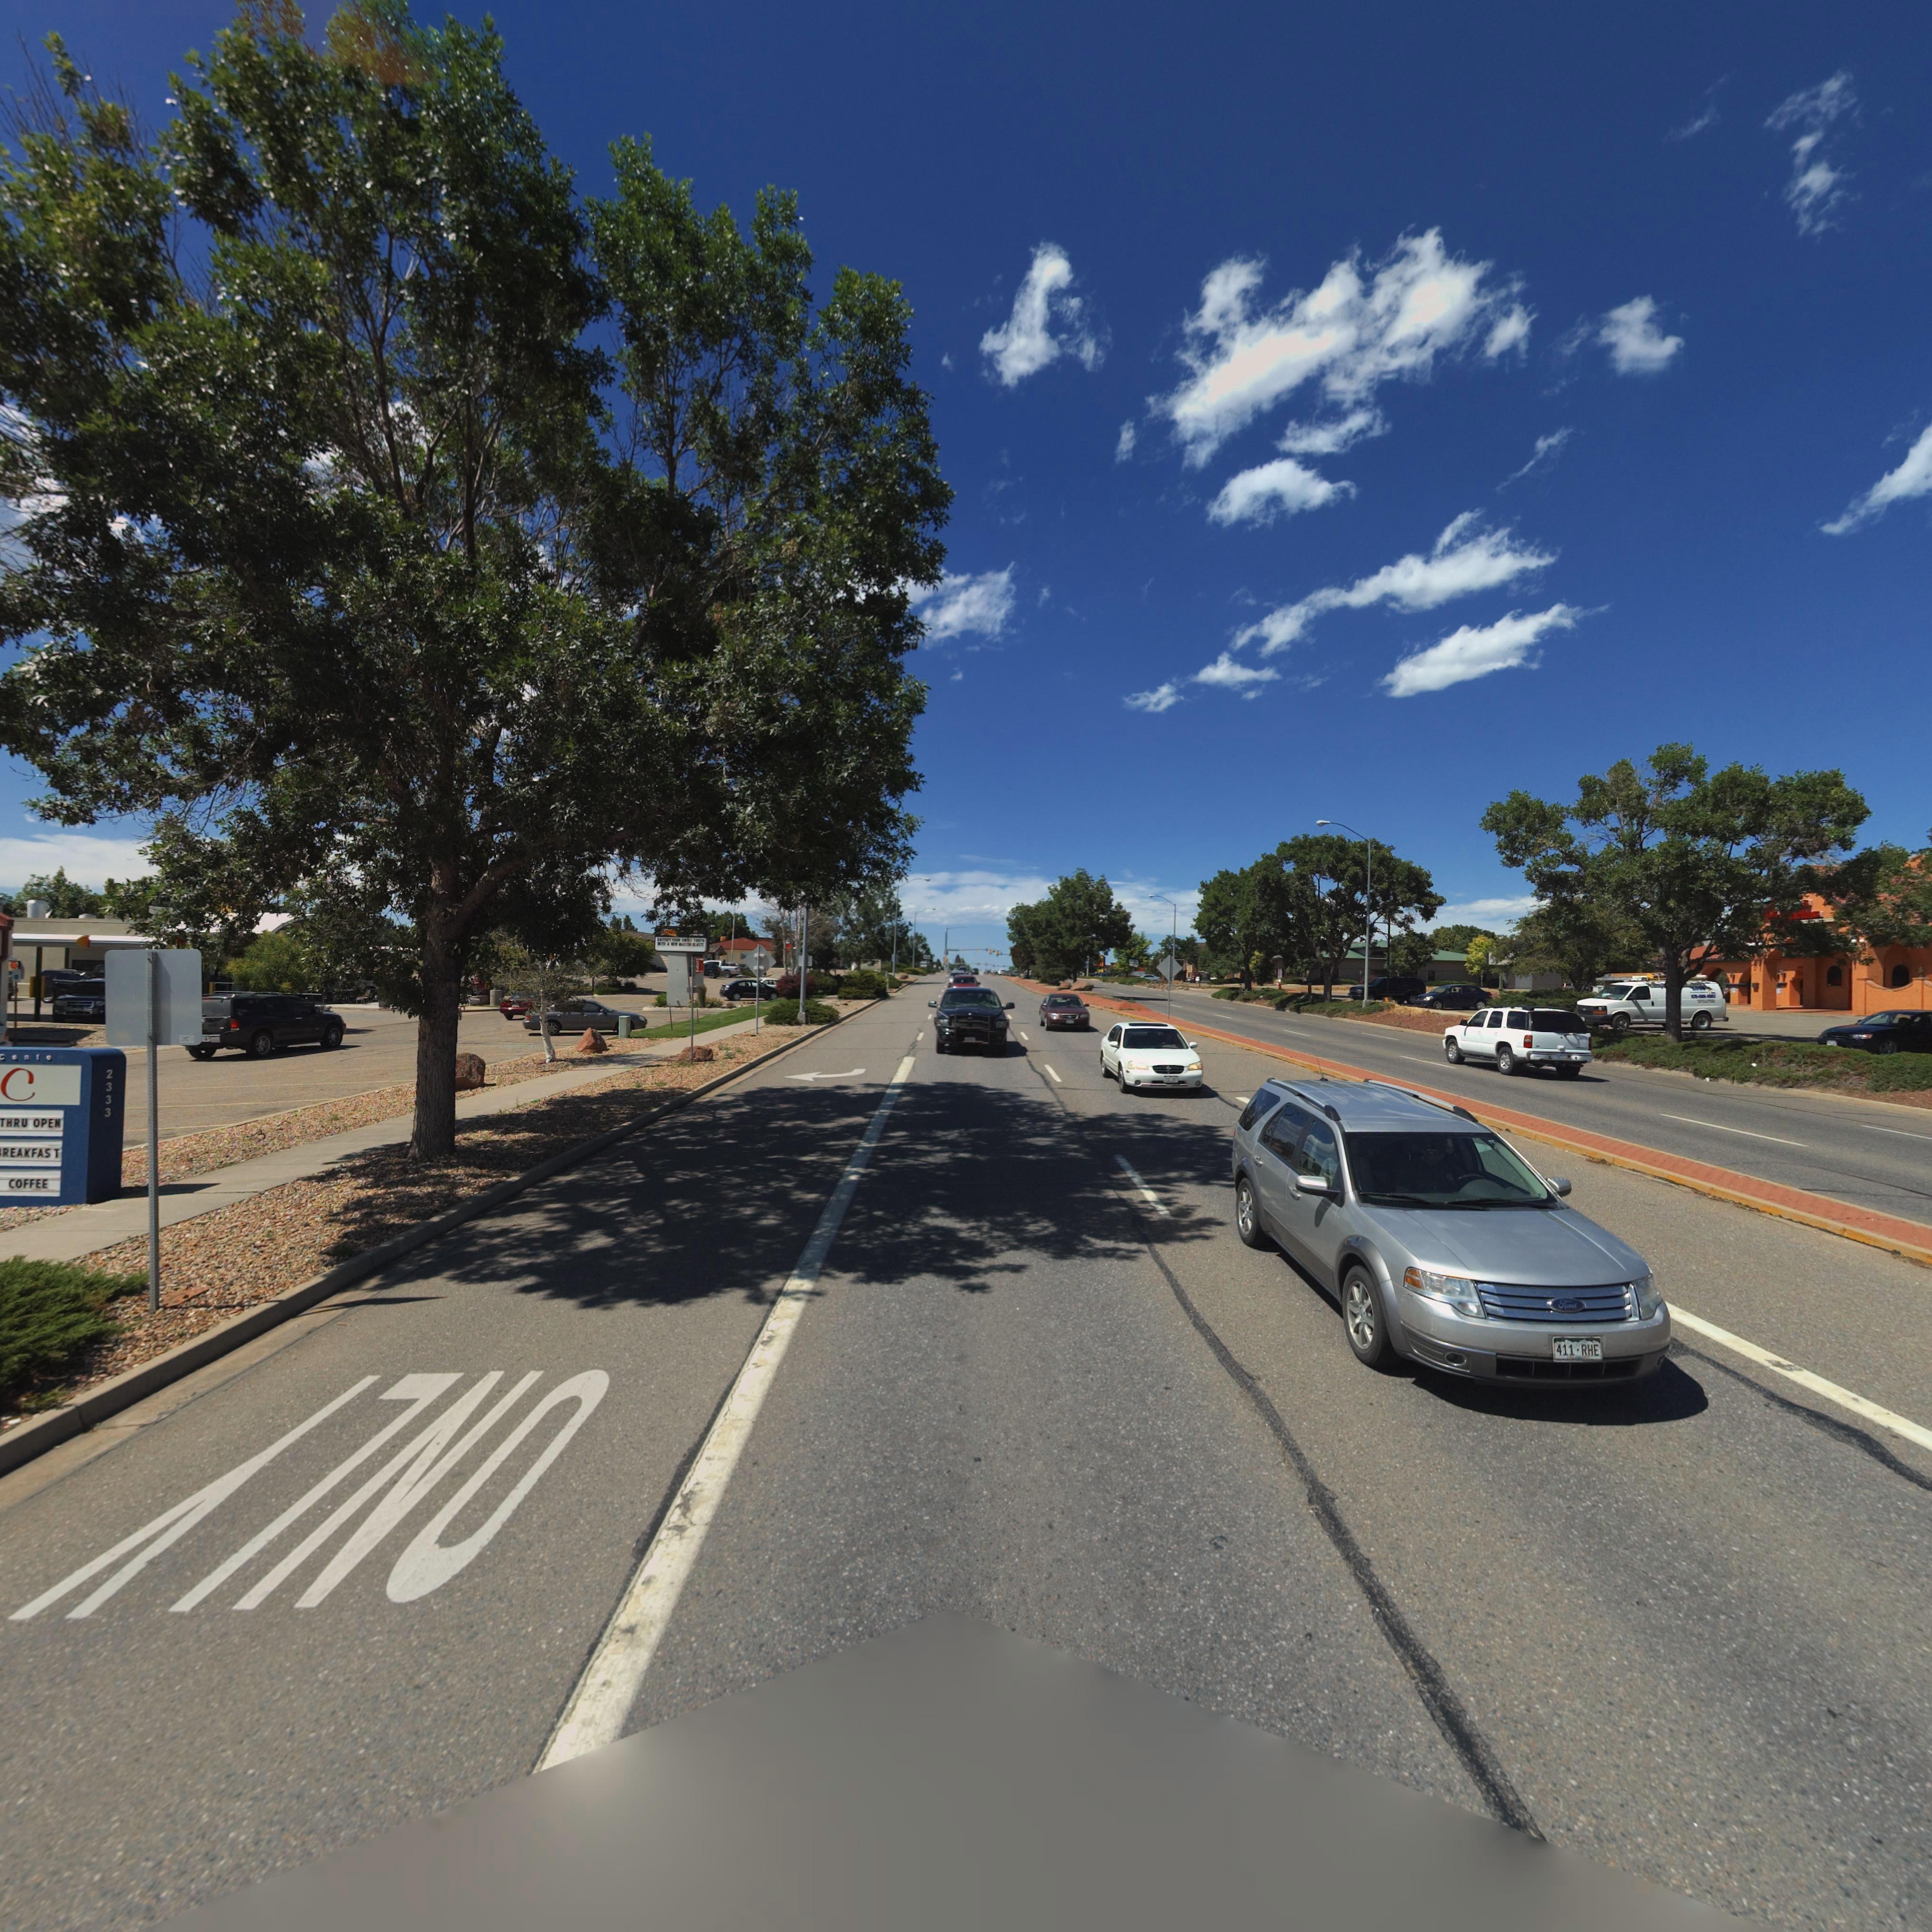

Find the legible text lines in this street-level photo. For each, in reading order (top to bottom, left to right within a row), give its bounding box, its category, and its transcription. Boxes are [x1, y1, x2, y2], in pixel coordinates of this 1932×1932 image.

[661, 929, 677, 934] BusinessName: SONIC
[104, 1068, 113, 1118] StreetNumber: 2333